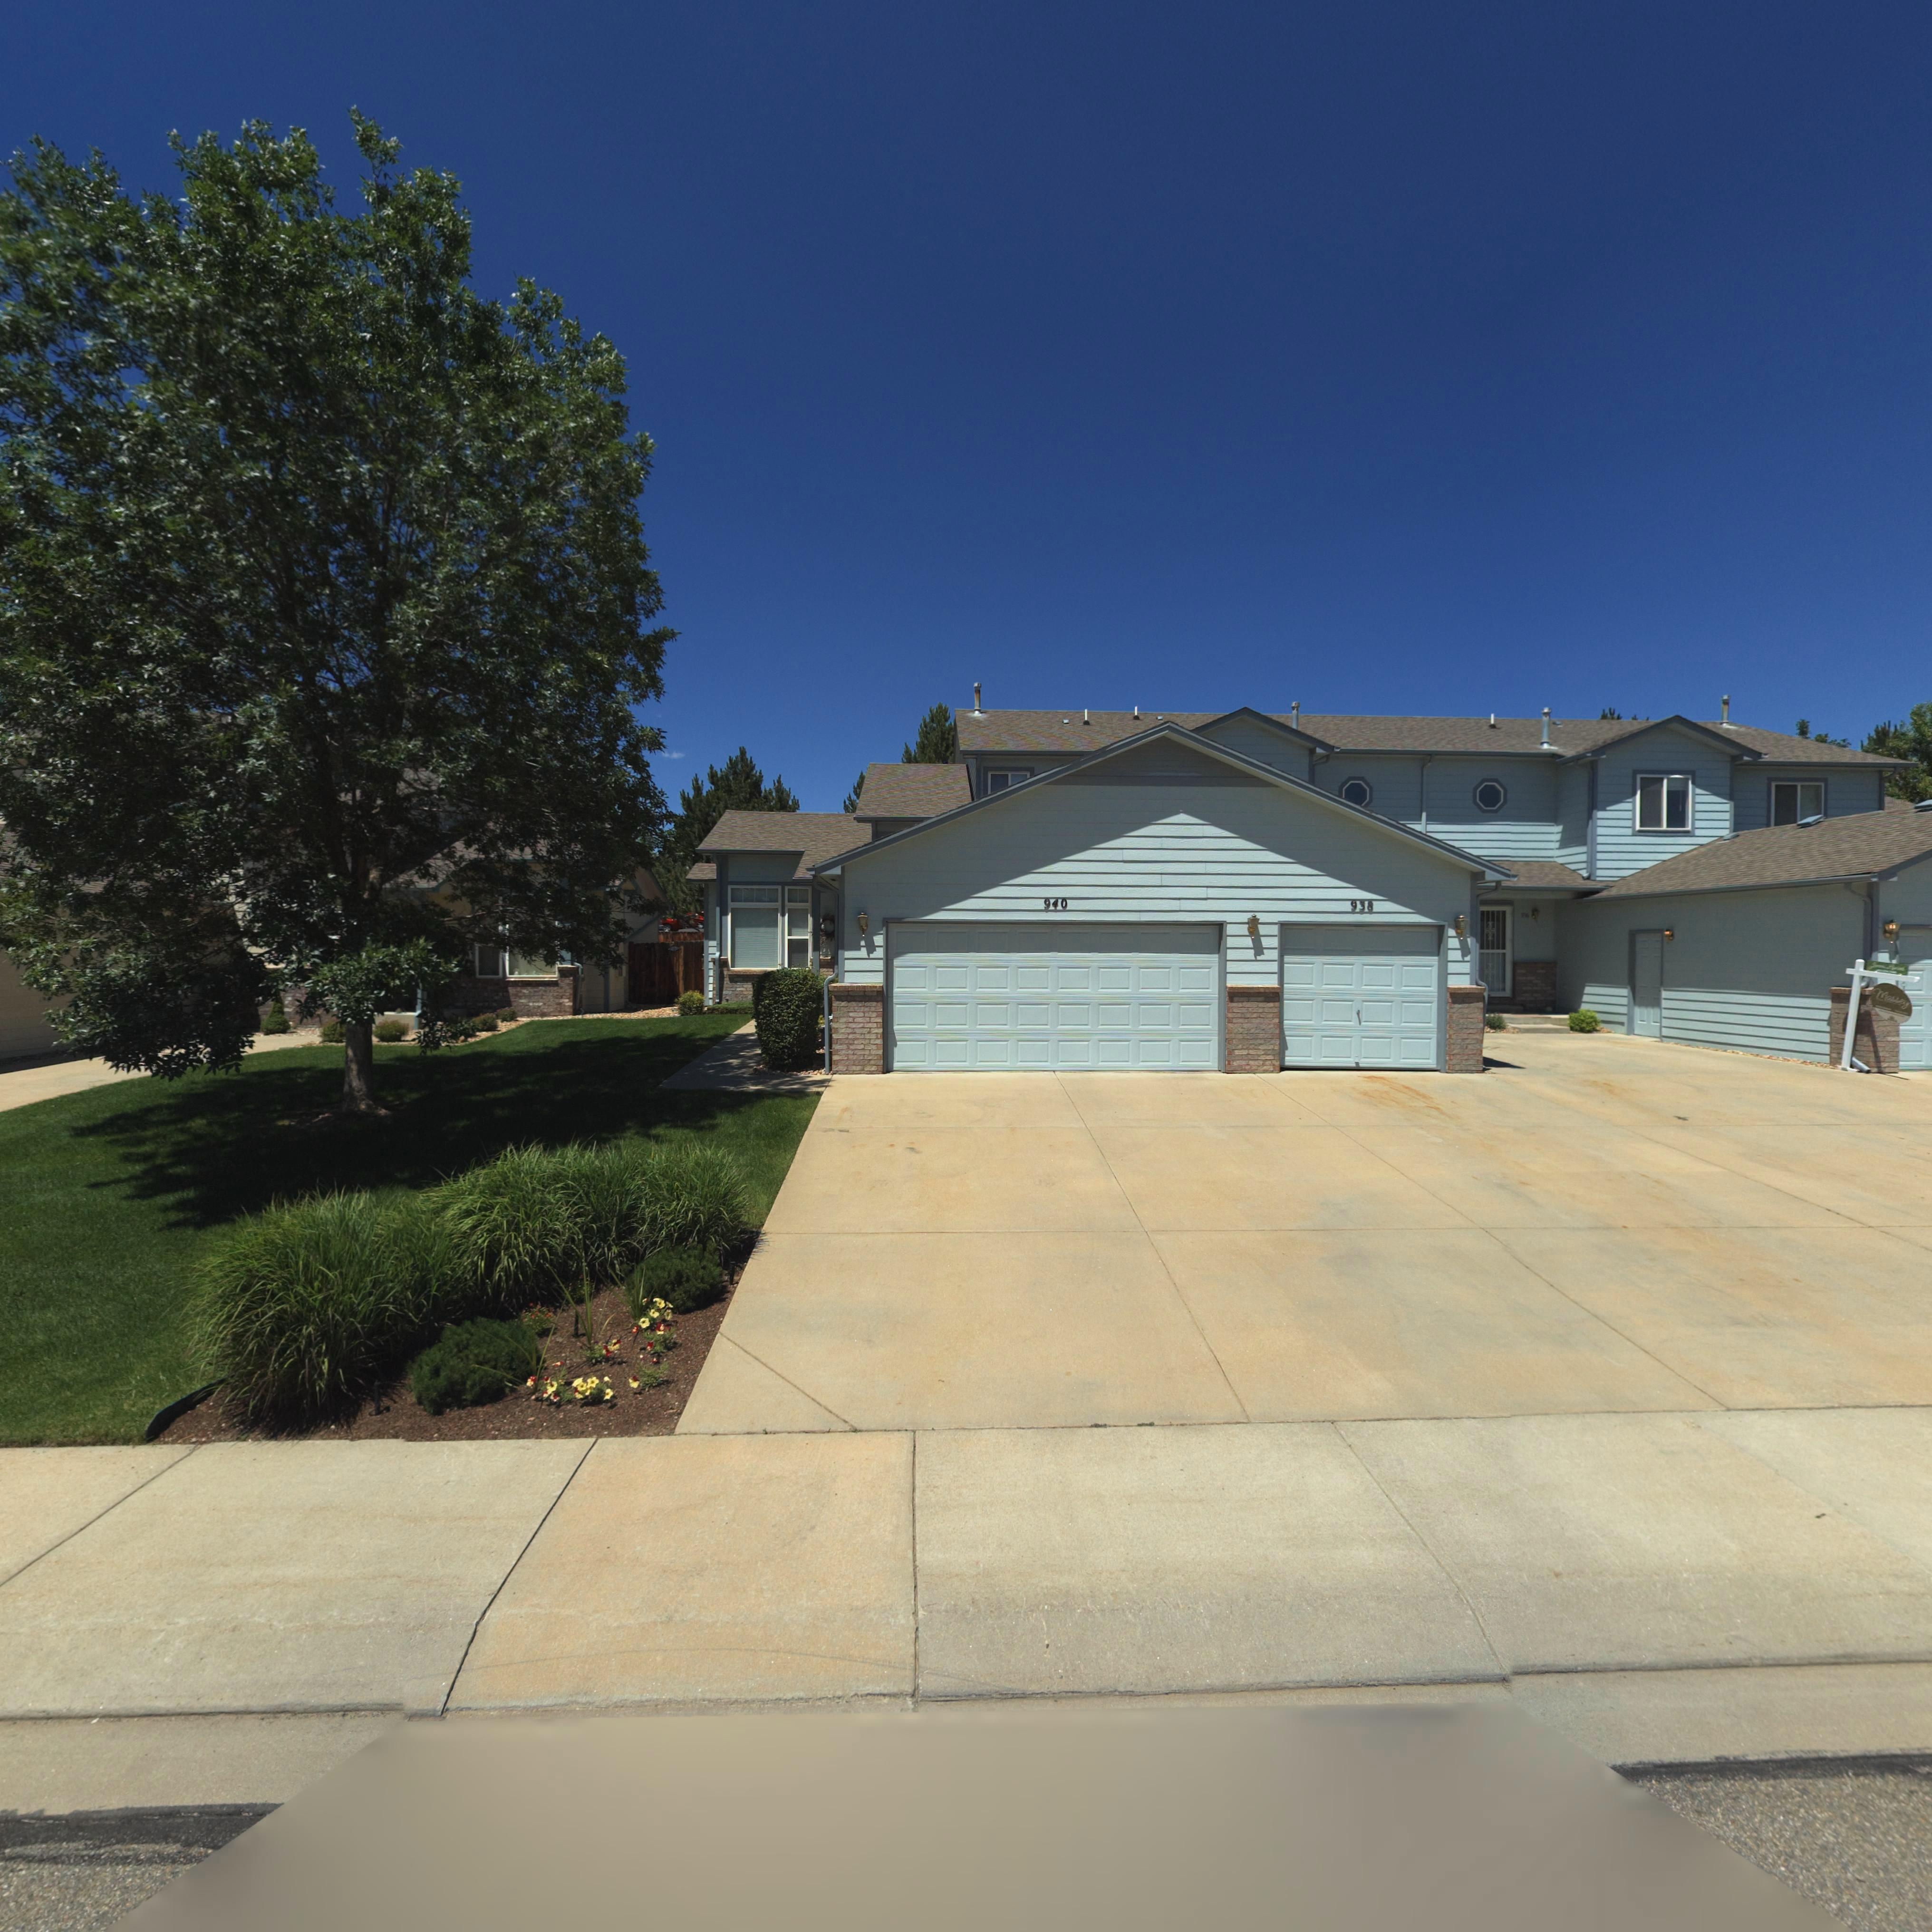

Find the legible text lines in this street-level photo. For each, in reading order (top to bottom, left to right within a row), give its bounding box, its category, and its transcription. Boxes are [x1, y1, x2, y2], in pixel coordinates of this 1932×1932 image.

[1043, 898, 1067, 908] StreetNumber: 940
[1350, 899, 1373, 911] StreetNumber: 938